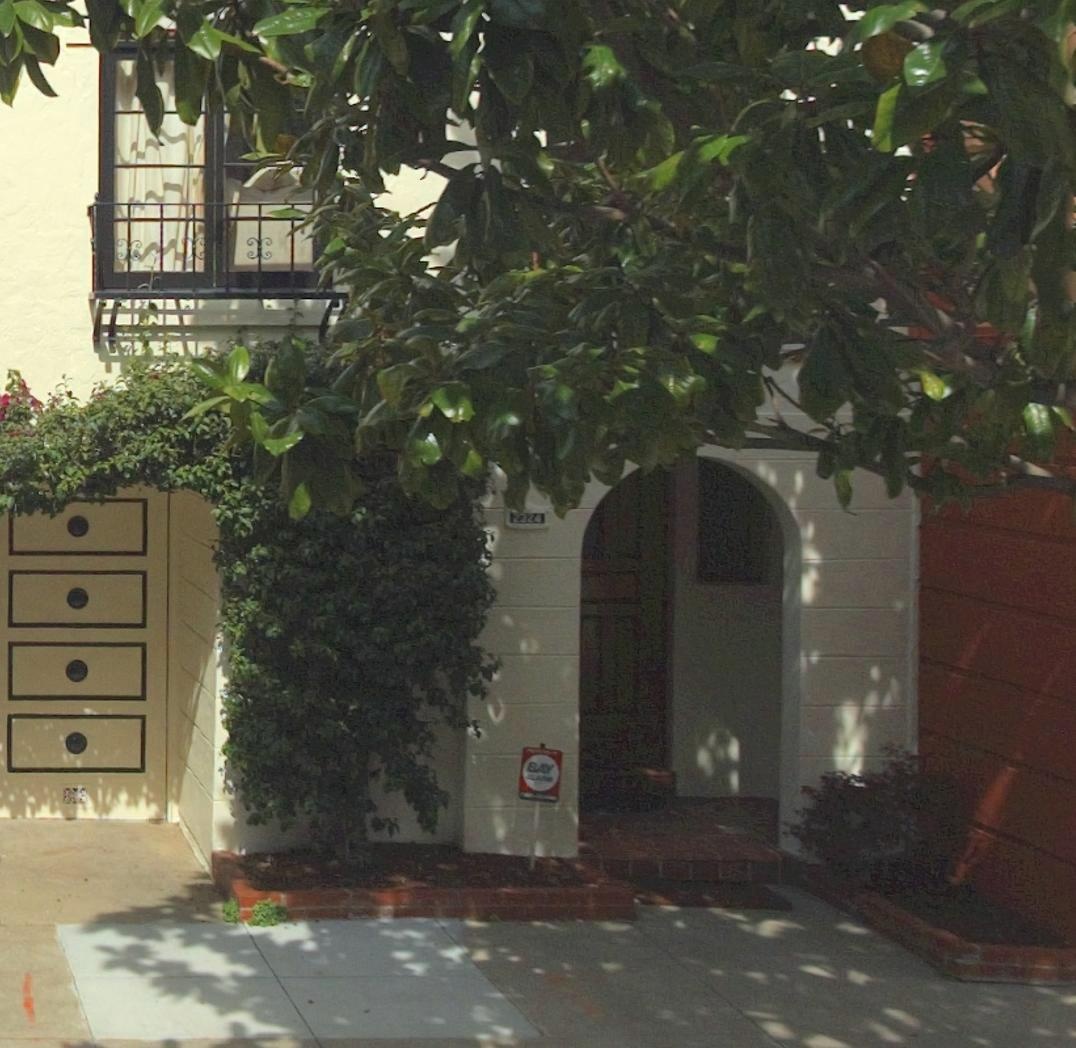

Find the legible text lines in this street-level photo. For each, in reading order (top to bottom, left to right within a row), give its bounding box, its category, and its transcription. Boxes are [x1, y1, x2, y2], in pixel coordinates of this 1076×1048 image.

[511, 512, 544, 525] StreetNumber: 2324
[522, 758, 558, 777] None: BAY